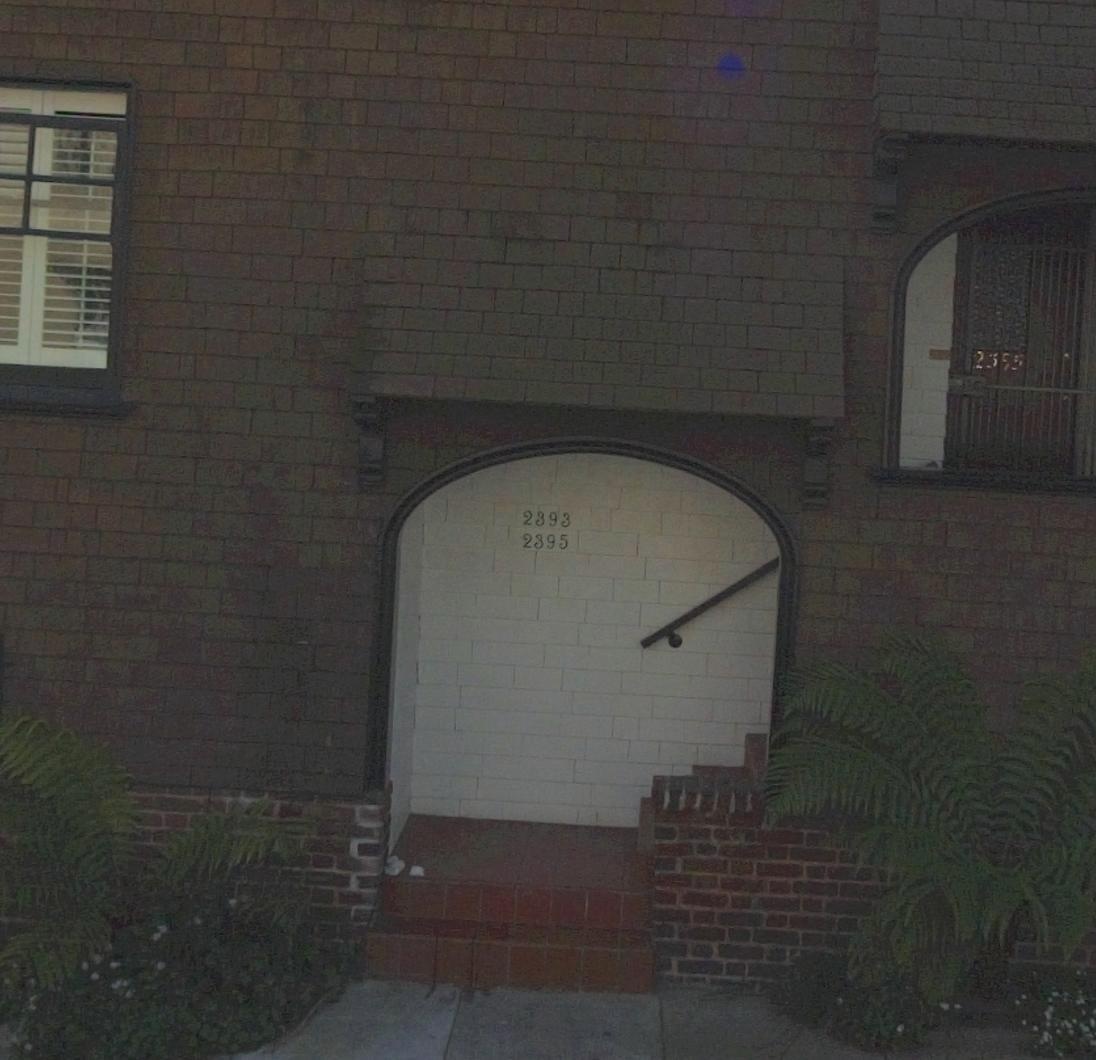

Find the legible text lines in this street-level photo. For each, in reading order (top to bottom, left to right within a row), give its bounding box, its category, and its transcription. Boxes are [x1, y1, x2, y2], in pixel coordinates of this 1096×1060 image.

[969, 347, 1027, 374] StreetNumber: 2**5
[521, 508, 573, 530] StreetNumber: 2393
[520, 530, 571, 552] StreetNumber: 2395